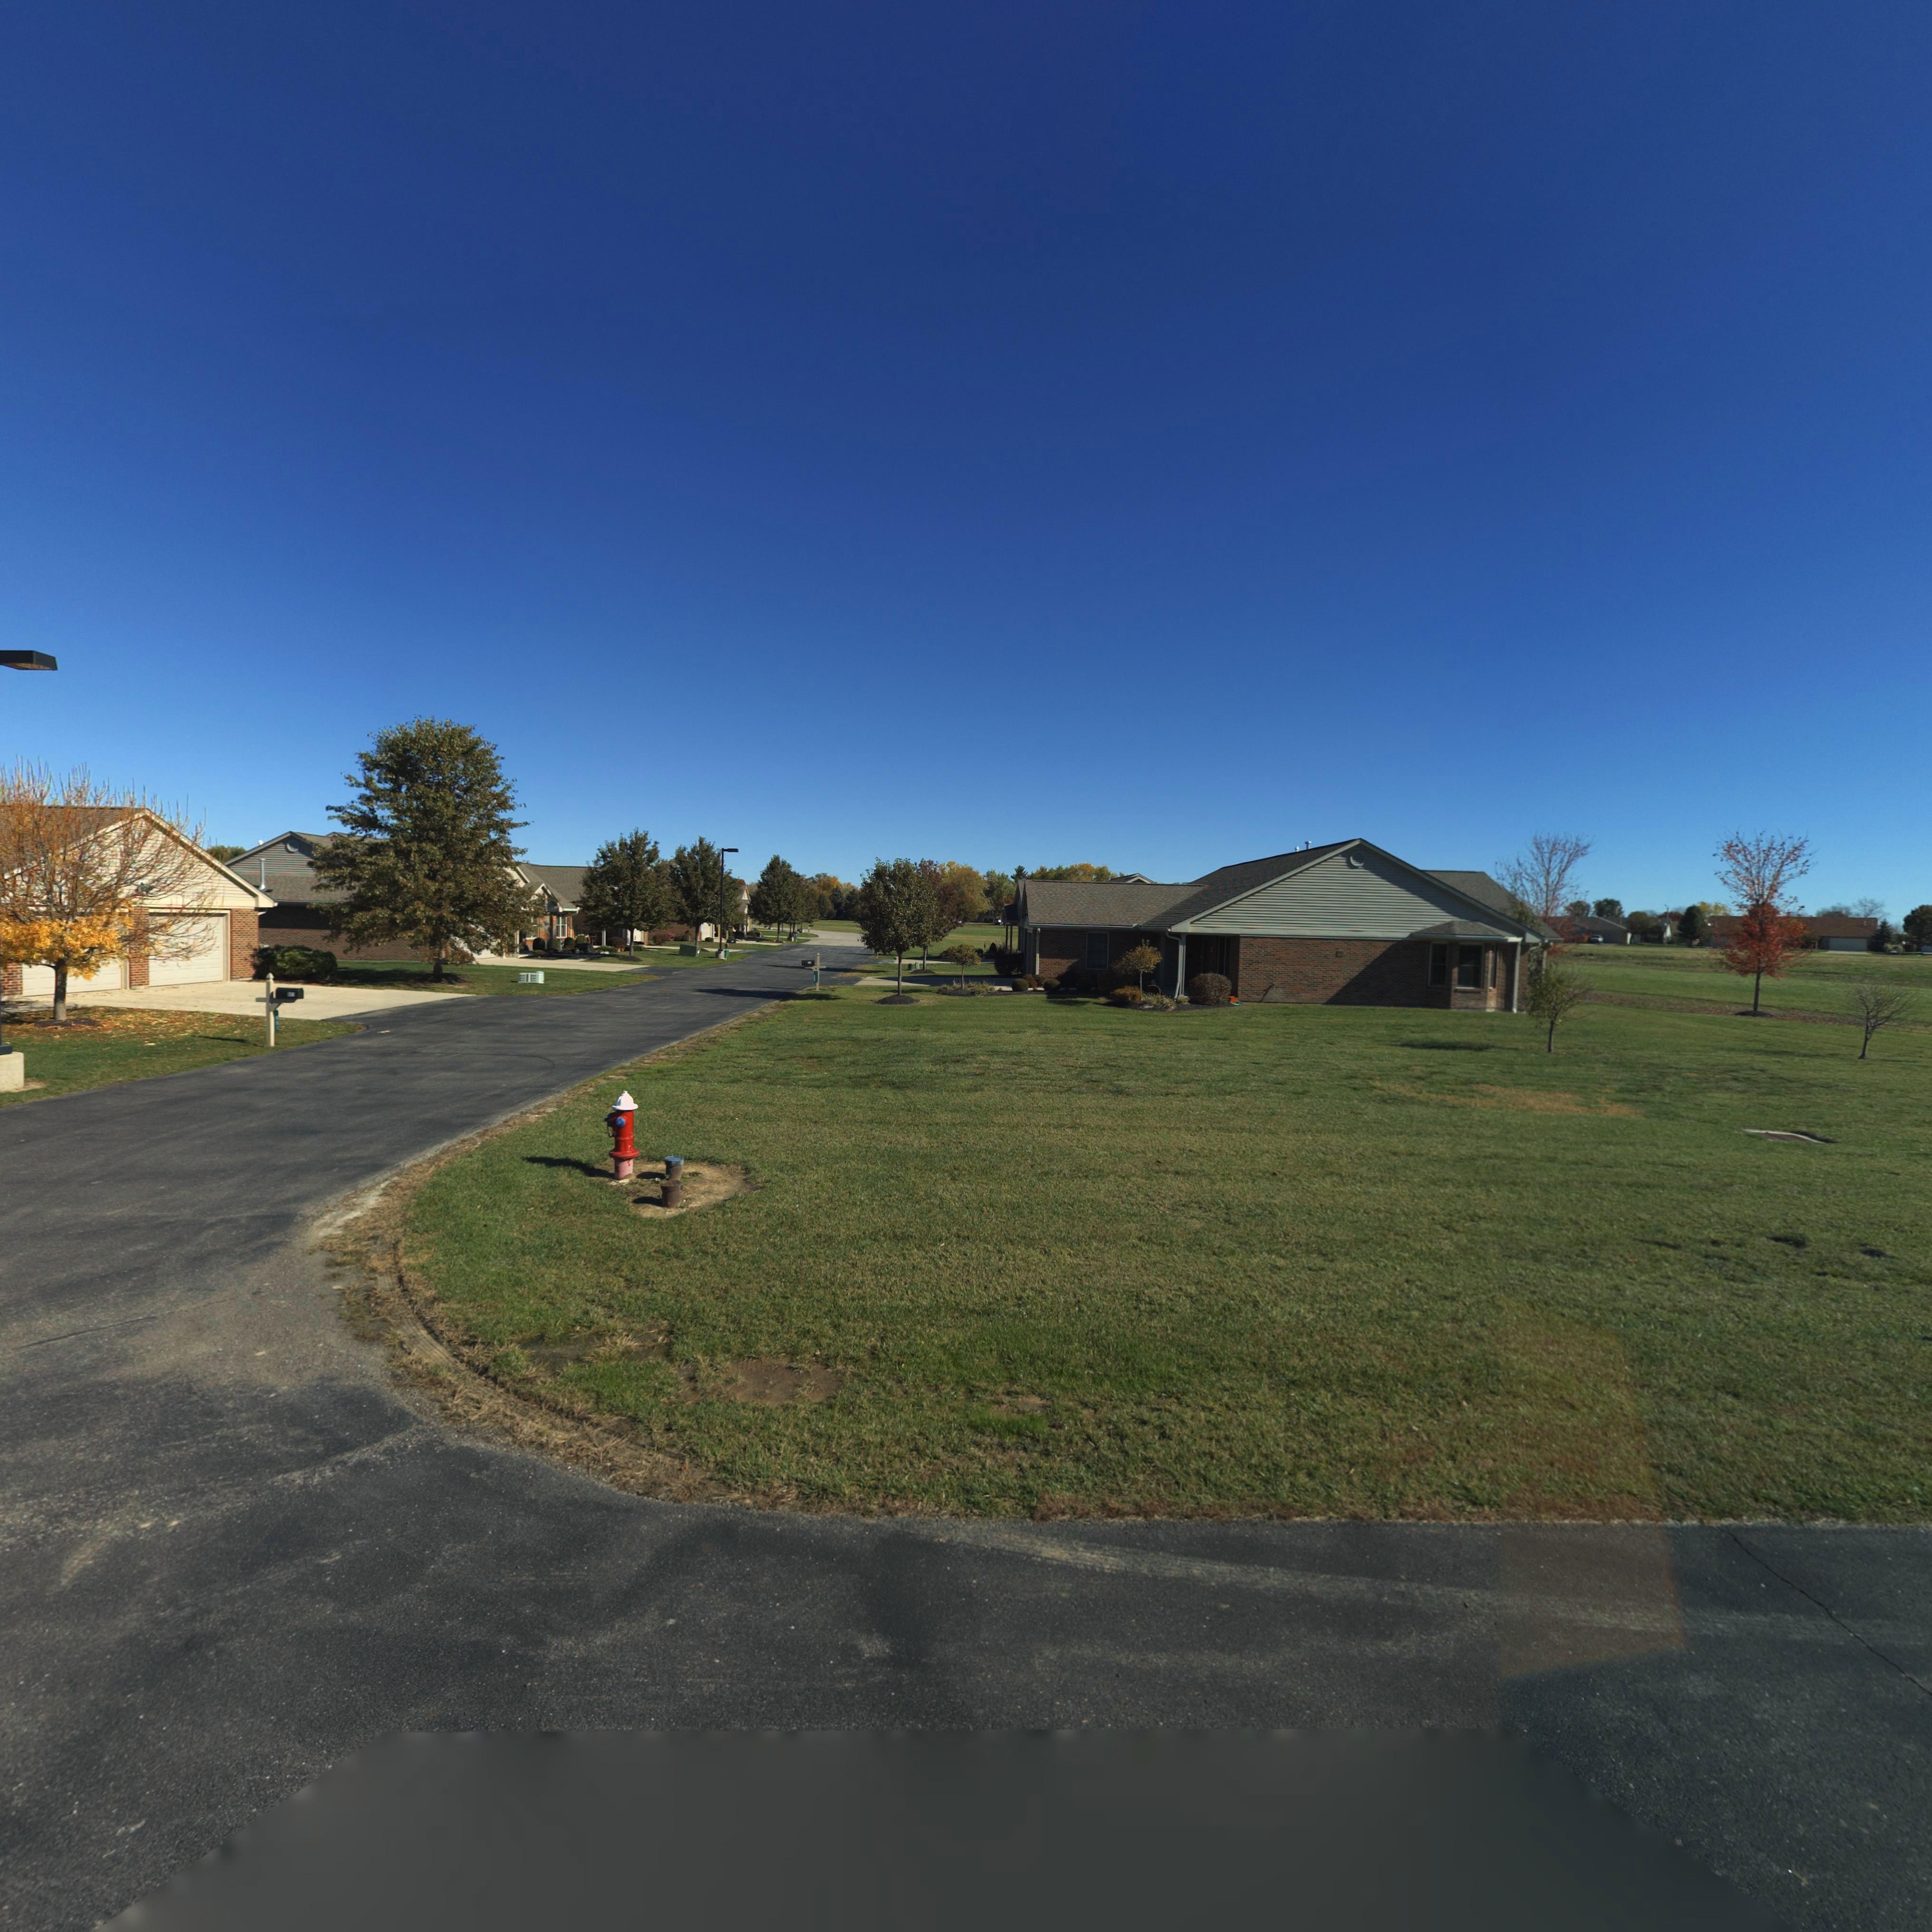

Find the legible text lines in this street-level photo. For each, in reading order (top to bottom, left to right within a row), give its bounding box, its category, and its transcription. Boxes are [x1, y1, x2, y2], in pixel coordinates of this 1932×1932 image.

[287, 992, 295, 996] StreetNumber: 601
[276, 1016, 279, 1030] StreetNumber: *01